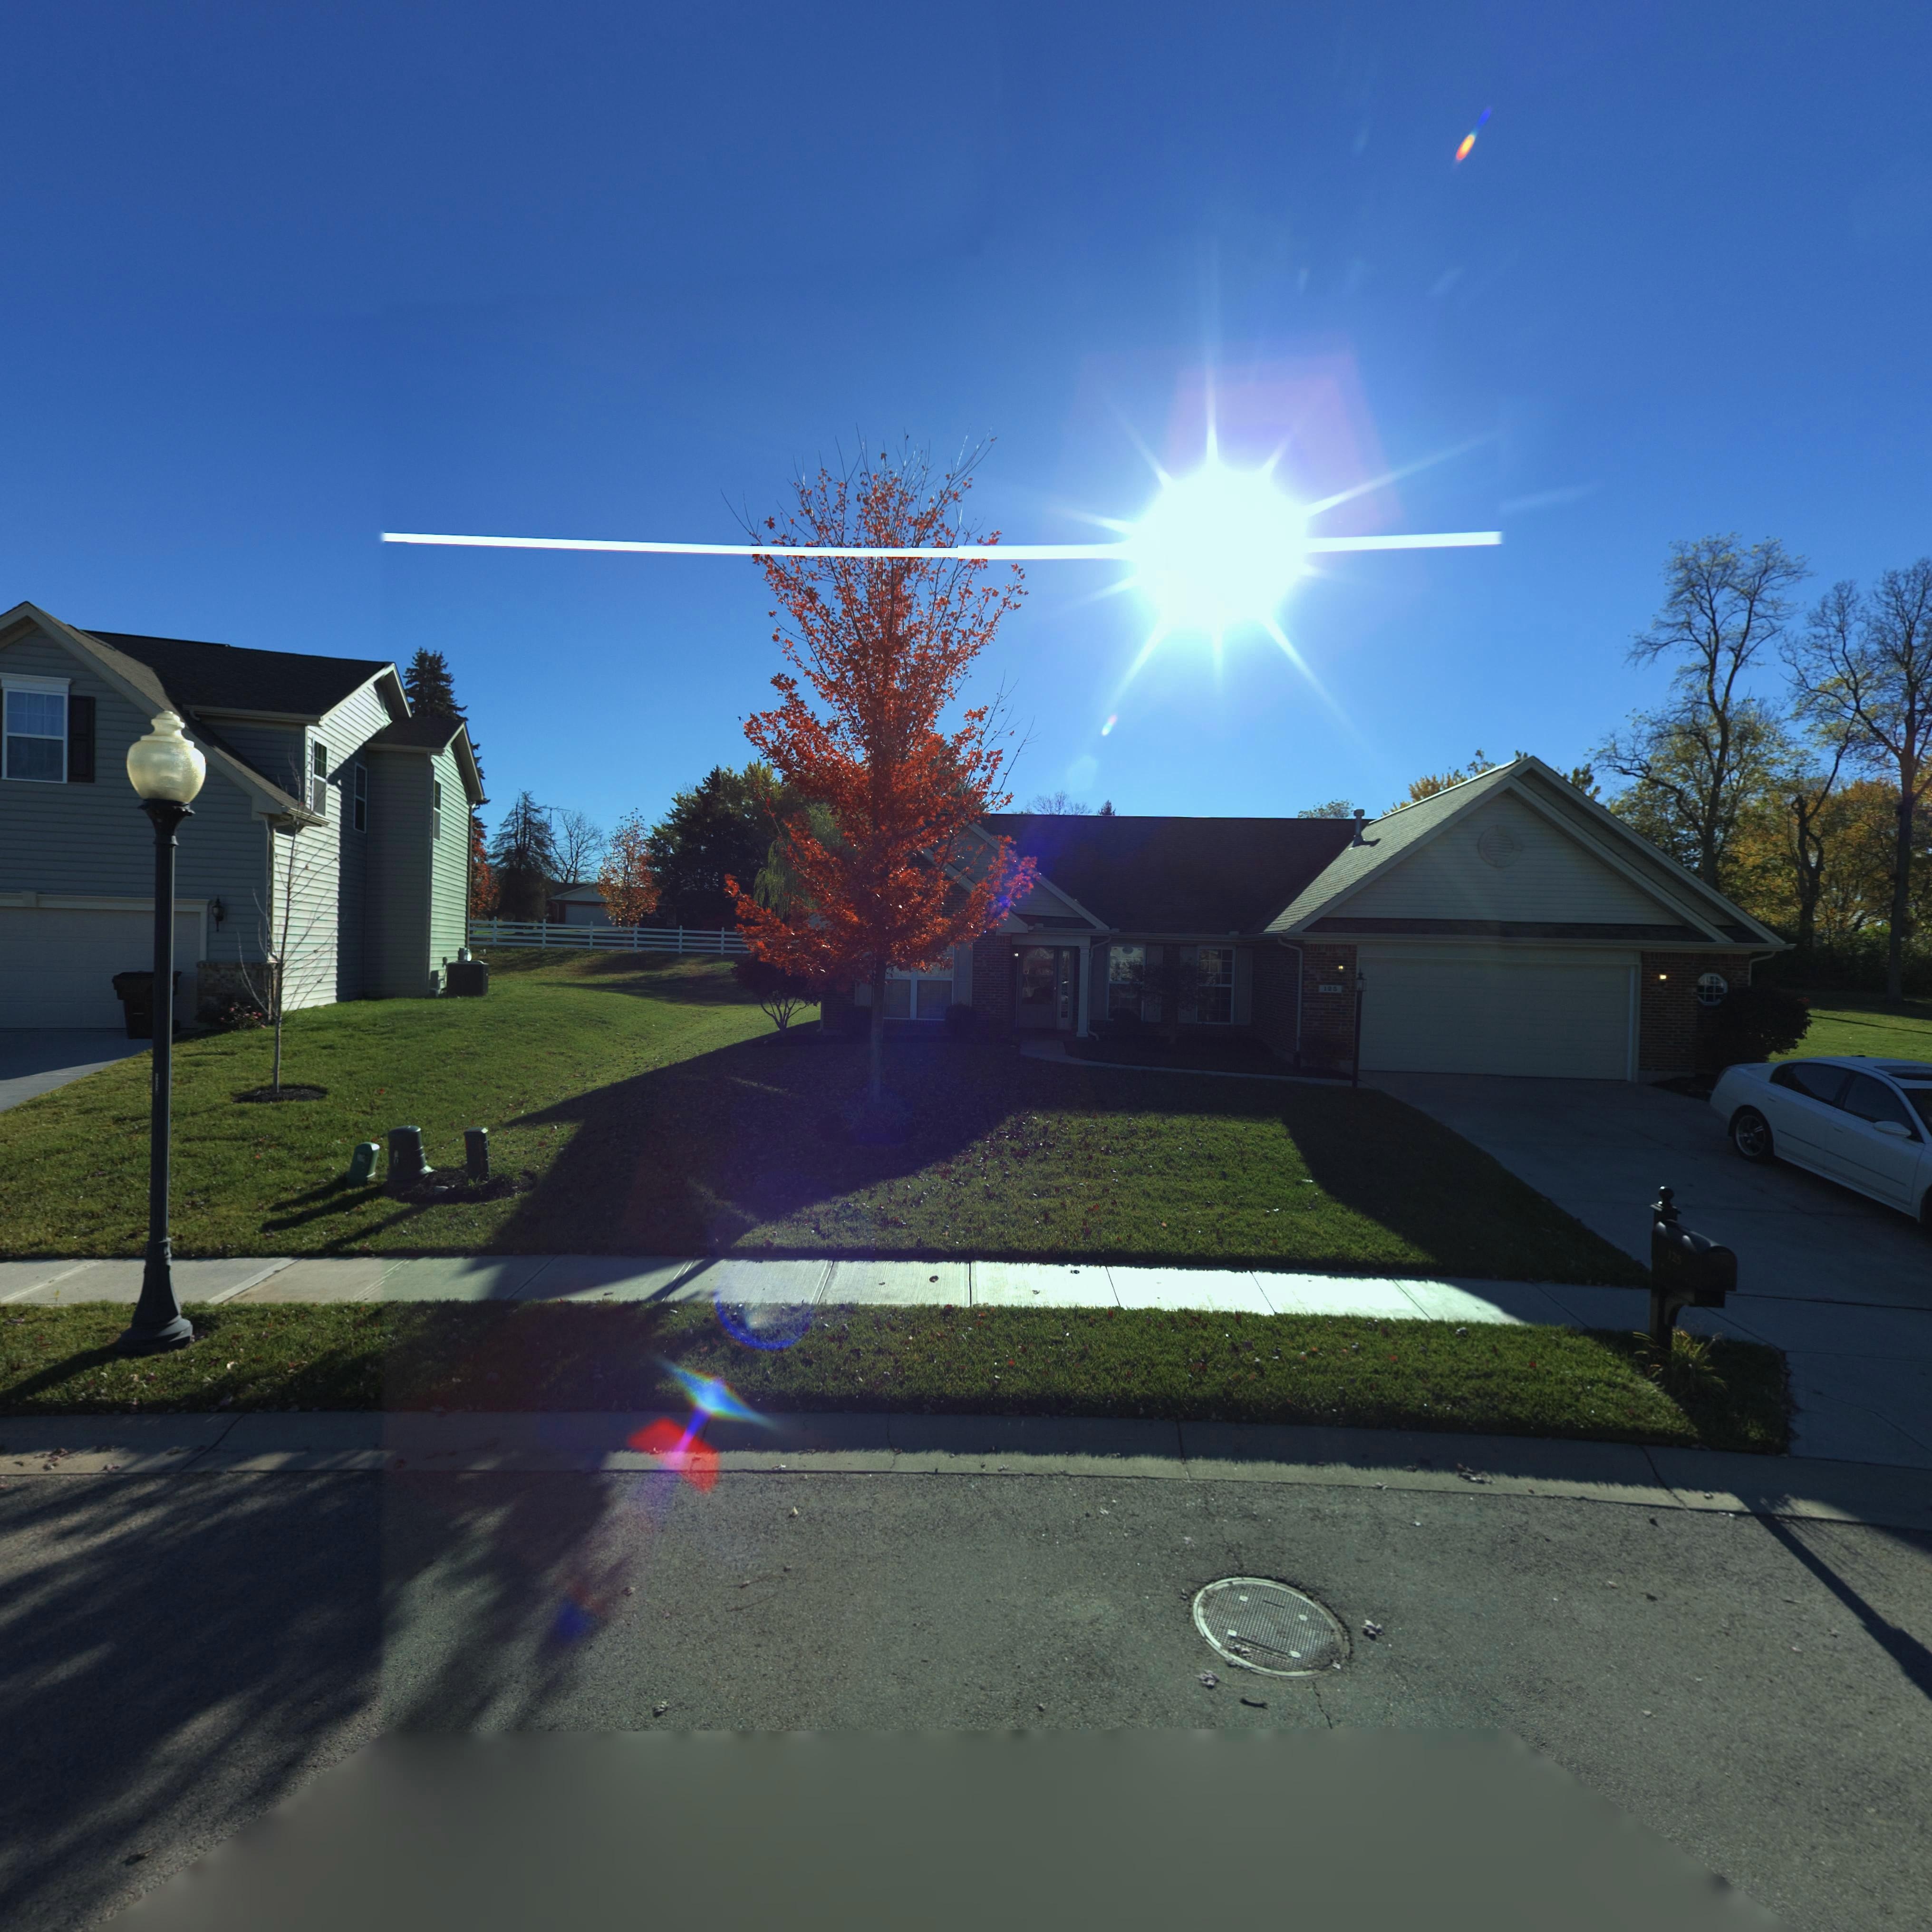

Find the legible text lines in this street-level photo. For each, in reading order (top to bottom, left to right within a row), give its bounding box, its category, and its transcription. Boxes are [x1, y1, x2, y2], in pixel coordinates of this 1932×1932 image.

[1323, 985, 1337, 992] StreetNumber: 125
[1667, 1247, 1683, 1266] StreetNumber: 125